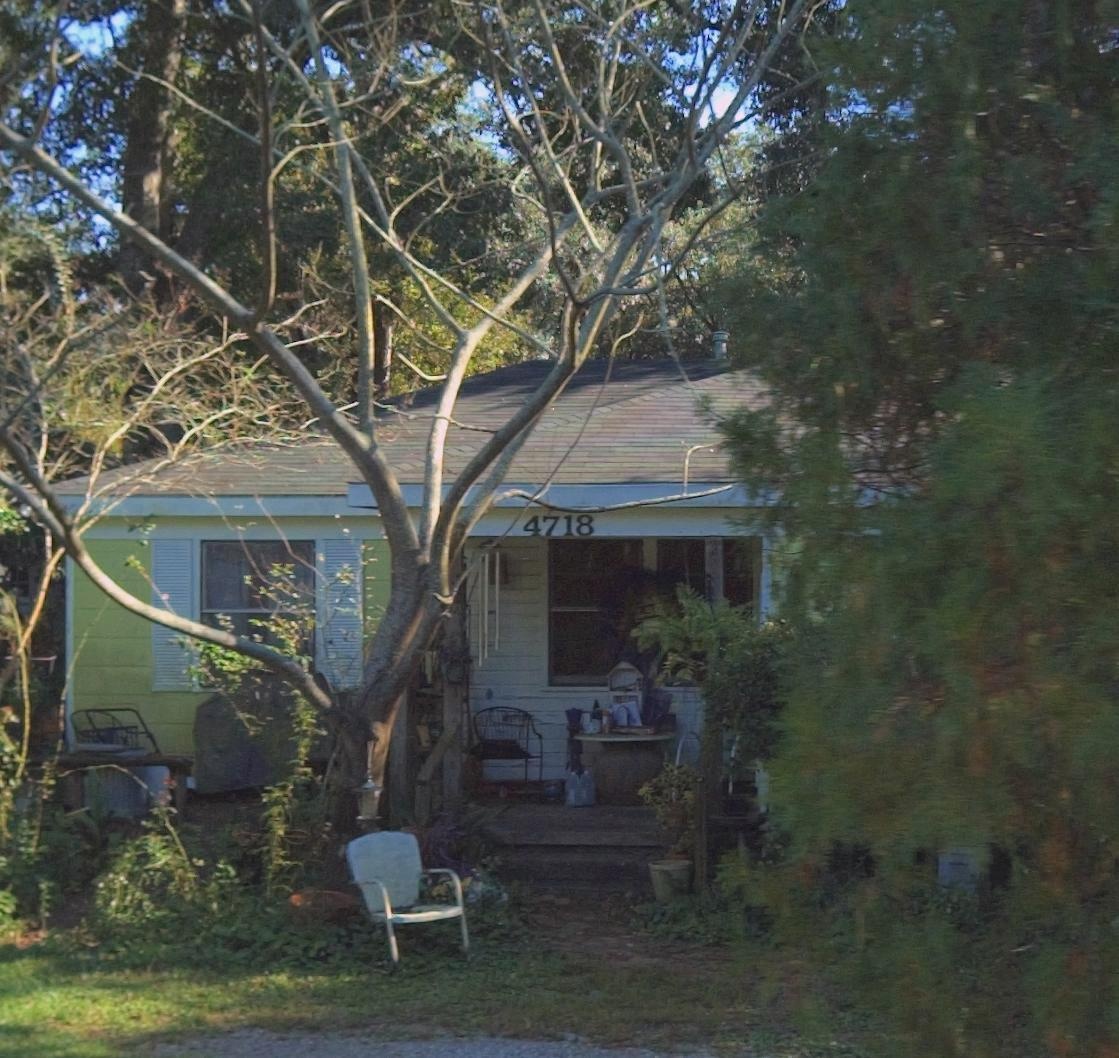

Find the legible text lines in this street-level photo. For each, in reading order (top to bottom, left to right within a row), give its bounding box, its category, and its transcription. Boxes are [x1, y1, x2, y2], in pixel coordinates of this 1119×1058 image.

[518, 512, 597, 538] StreetNumber: 4718